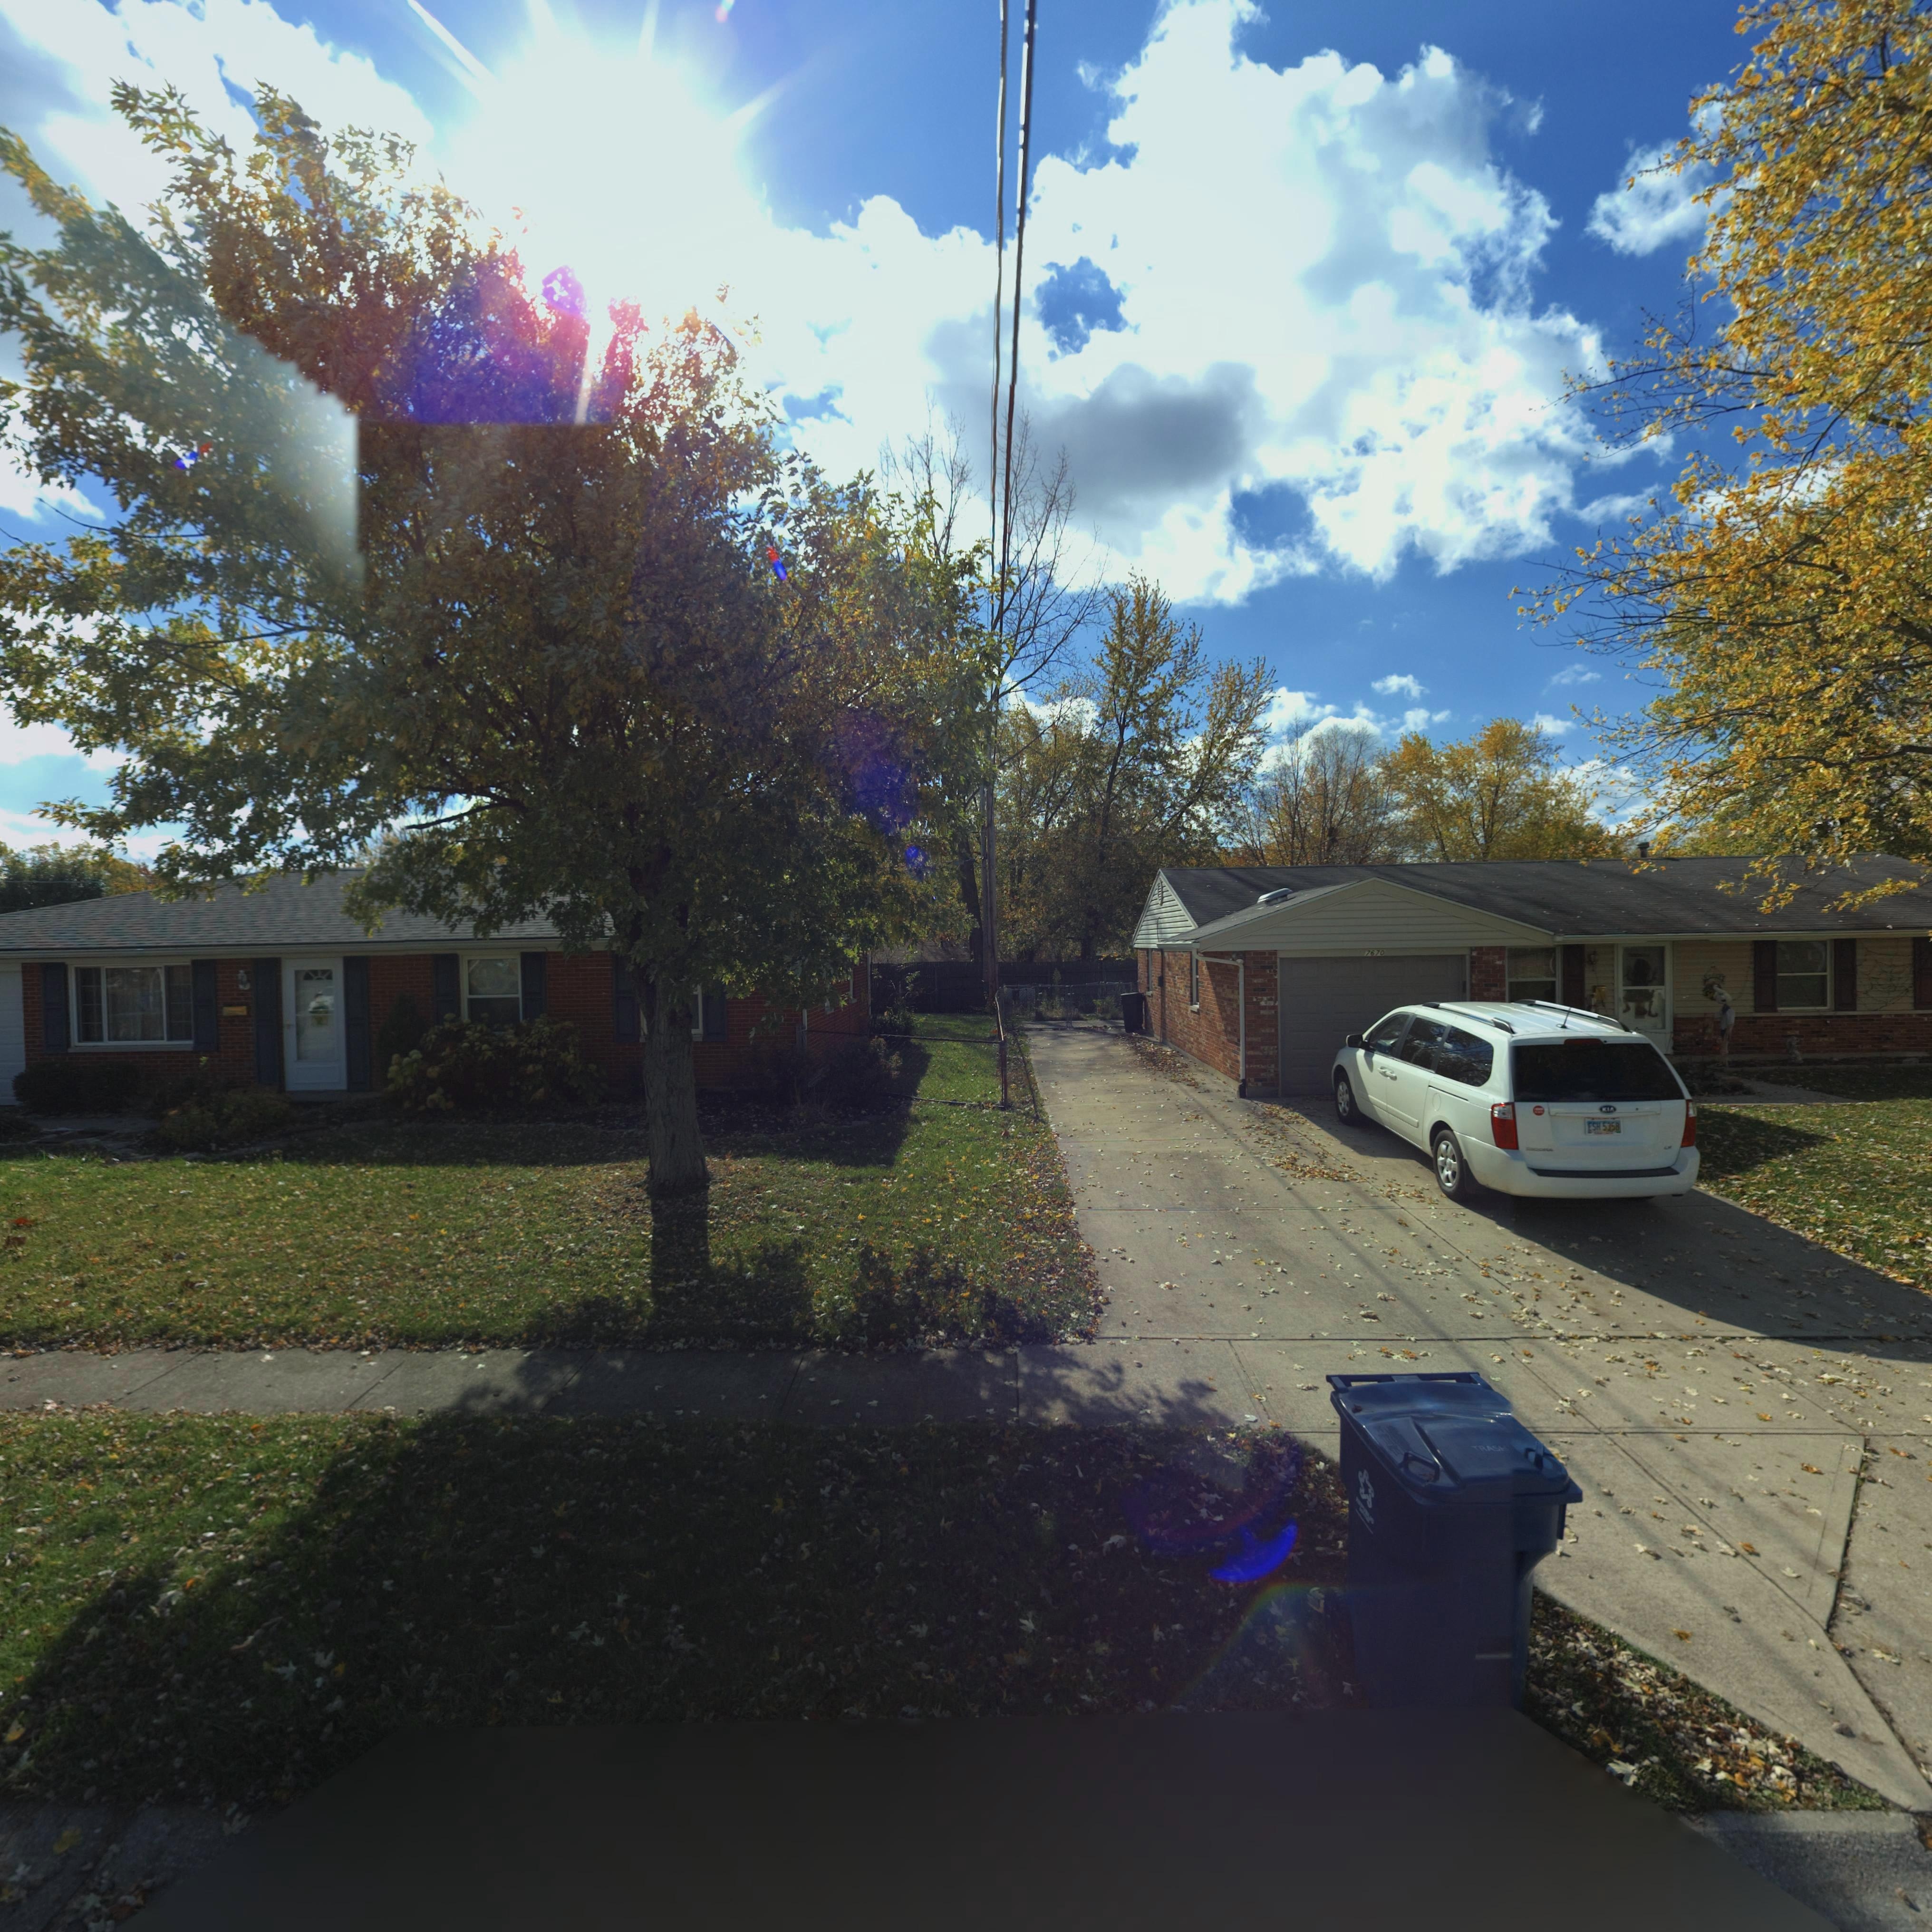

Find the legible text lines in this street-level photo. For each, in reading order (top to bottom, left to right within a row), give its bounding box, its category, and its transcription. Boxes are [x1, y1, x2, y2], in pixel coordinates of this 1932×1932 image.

[1364, 949, 1386, 956] StreetNumber: 7670